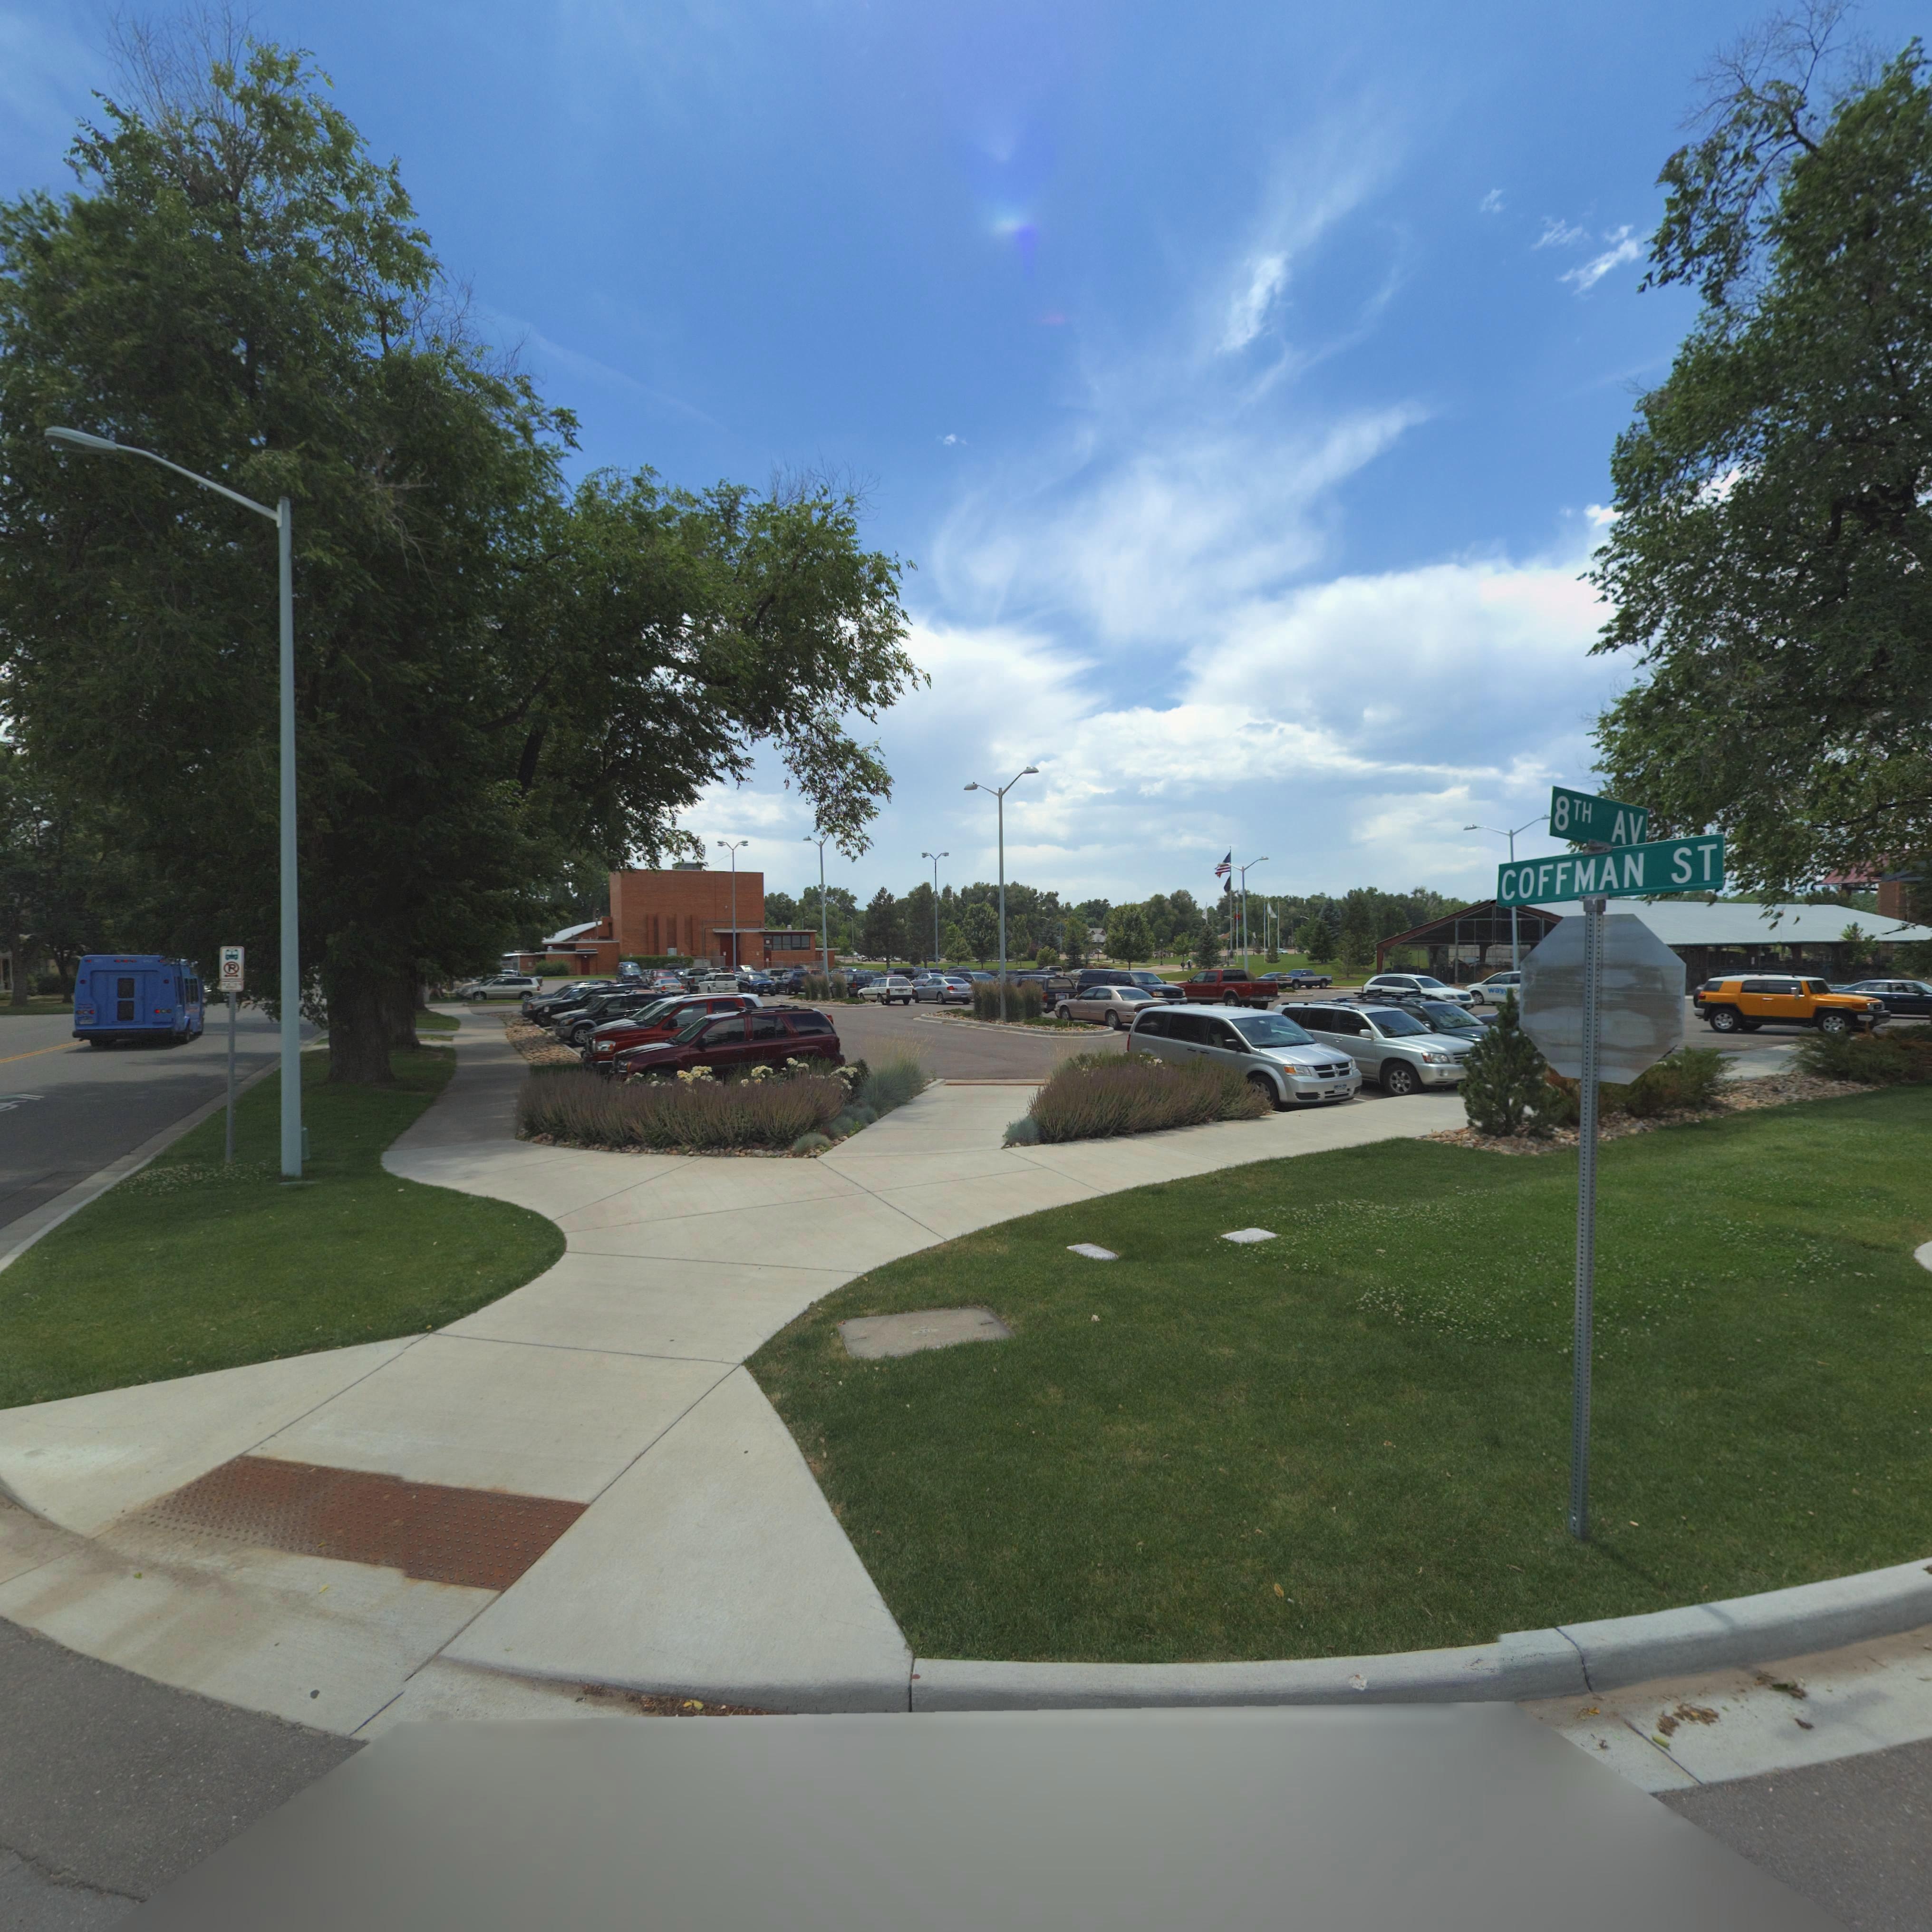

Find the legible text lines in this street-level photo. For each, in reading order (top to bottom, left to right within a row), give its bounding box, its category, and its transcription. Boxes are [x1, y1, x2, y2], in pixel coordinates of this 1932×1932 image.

[1553, 794, 1646, 847] StreetName: 8TH AV
[1499, 842, 1719, 902] StreetName: COFFMAN ST